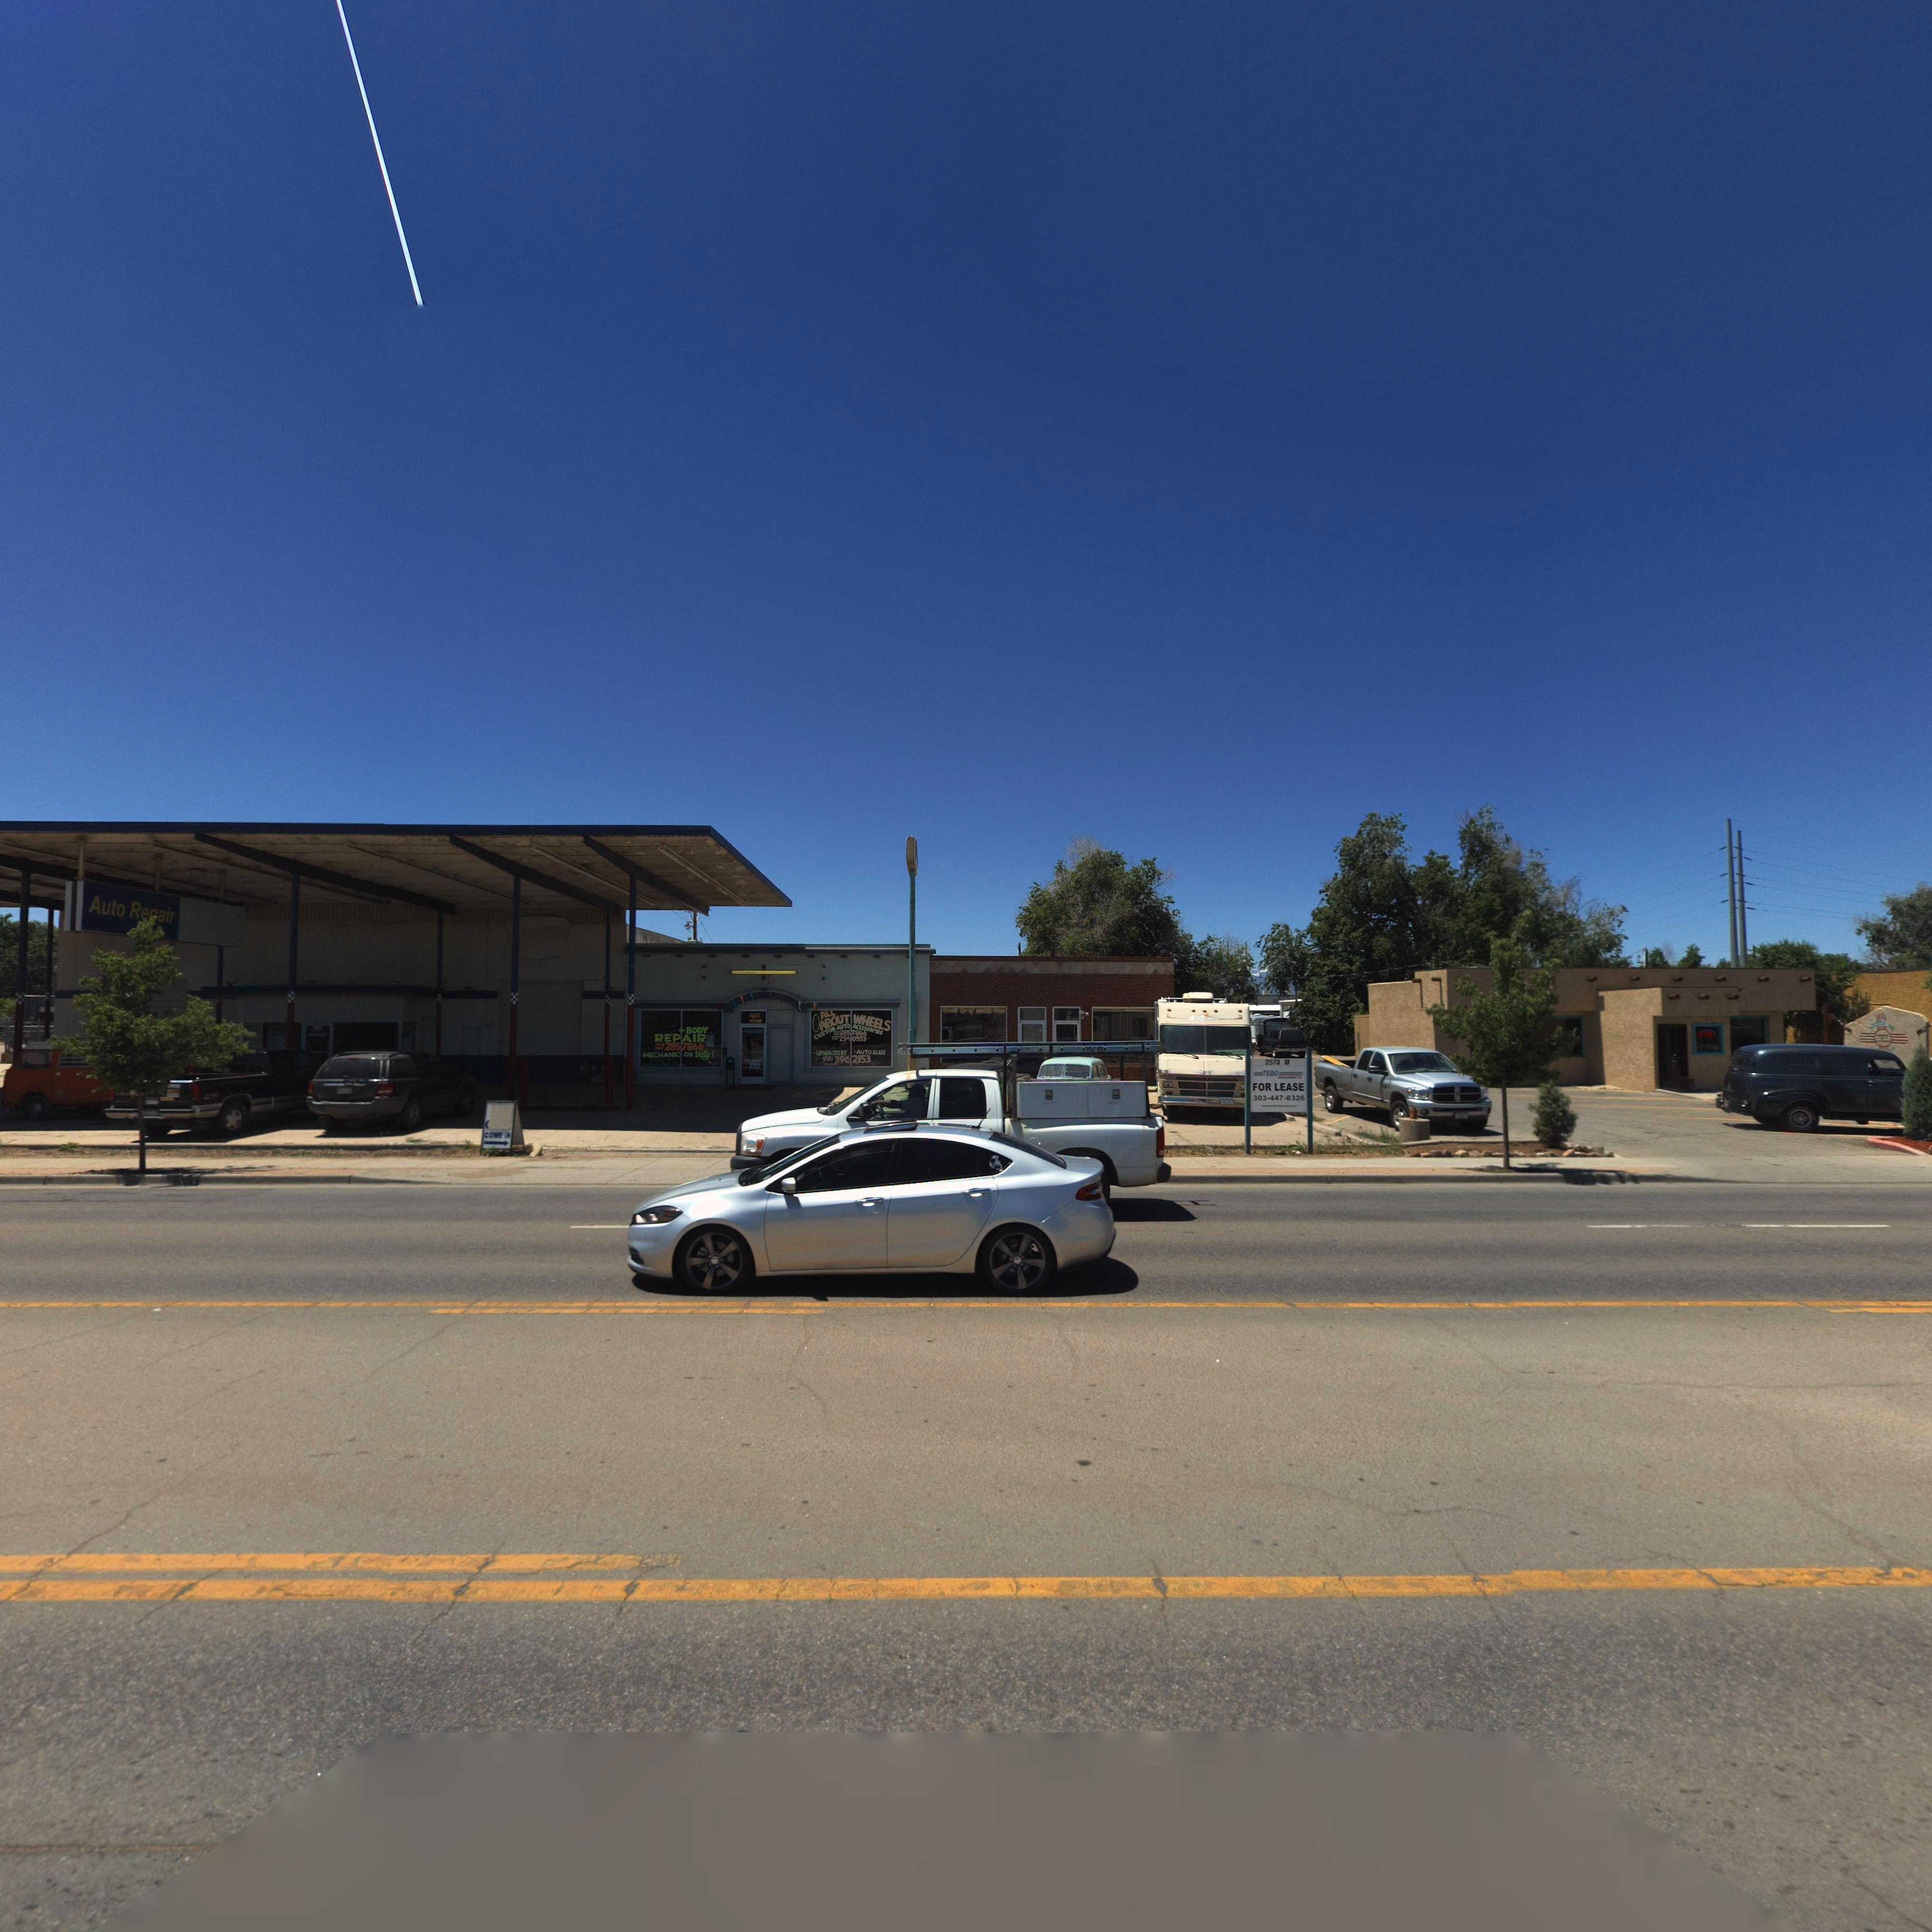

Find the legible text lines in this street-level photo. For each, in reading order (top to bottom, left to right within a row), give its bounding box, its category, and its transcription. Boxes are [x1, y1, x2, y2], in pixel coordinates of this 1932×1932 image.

[748, 1012, 756, 1018] StreetNumber: 41
[756, 1013, 760, 1017] StreetName: s
[820, 1010, 836, 1020] BusinessName: ALL
[748, 1018, 762, 1023] StreetName: MA**
[819, 1014, 891, 1031] BusinessName: ABOUT WHEELS